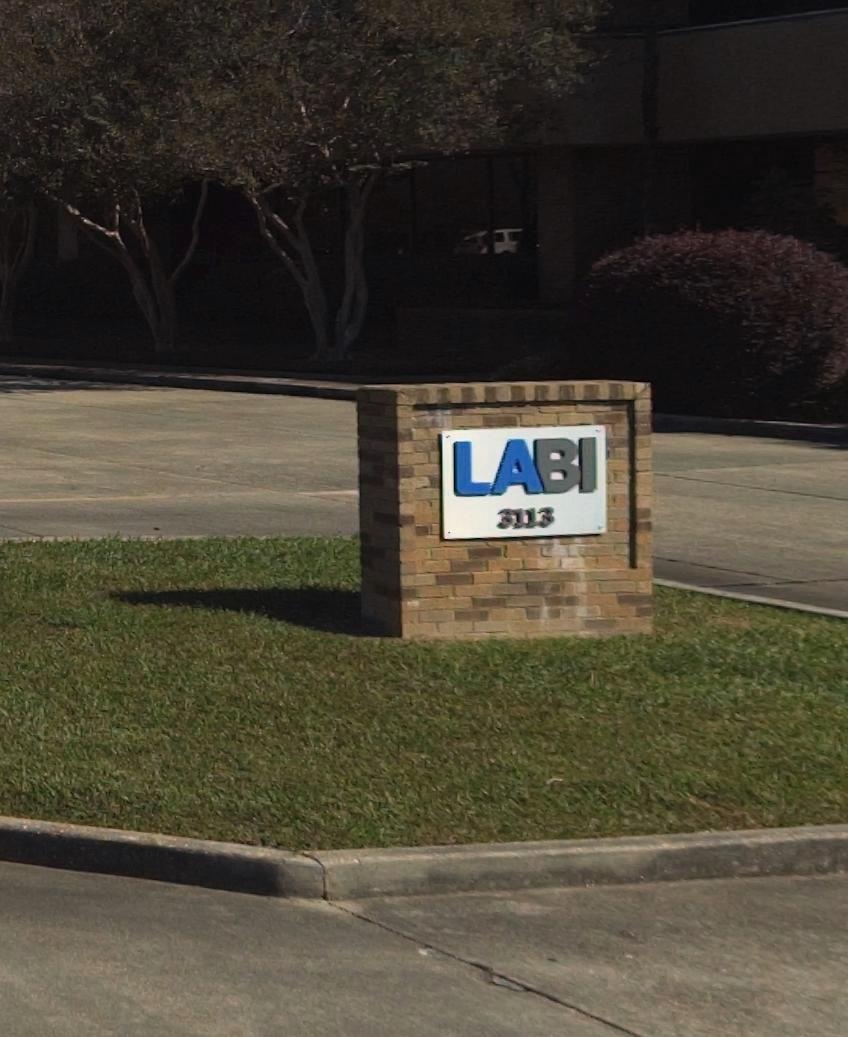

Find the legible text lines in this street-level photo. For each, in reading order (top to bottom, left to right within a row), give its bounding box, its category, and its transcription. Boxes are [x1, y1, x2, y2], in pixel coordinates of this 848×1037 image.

[449, 433, 601, 501] BusinessName: LABI
[497, 505, 559, 531] StreetNumber: 3113